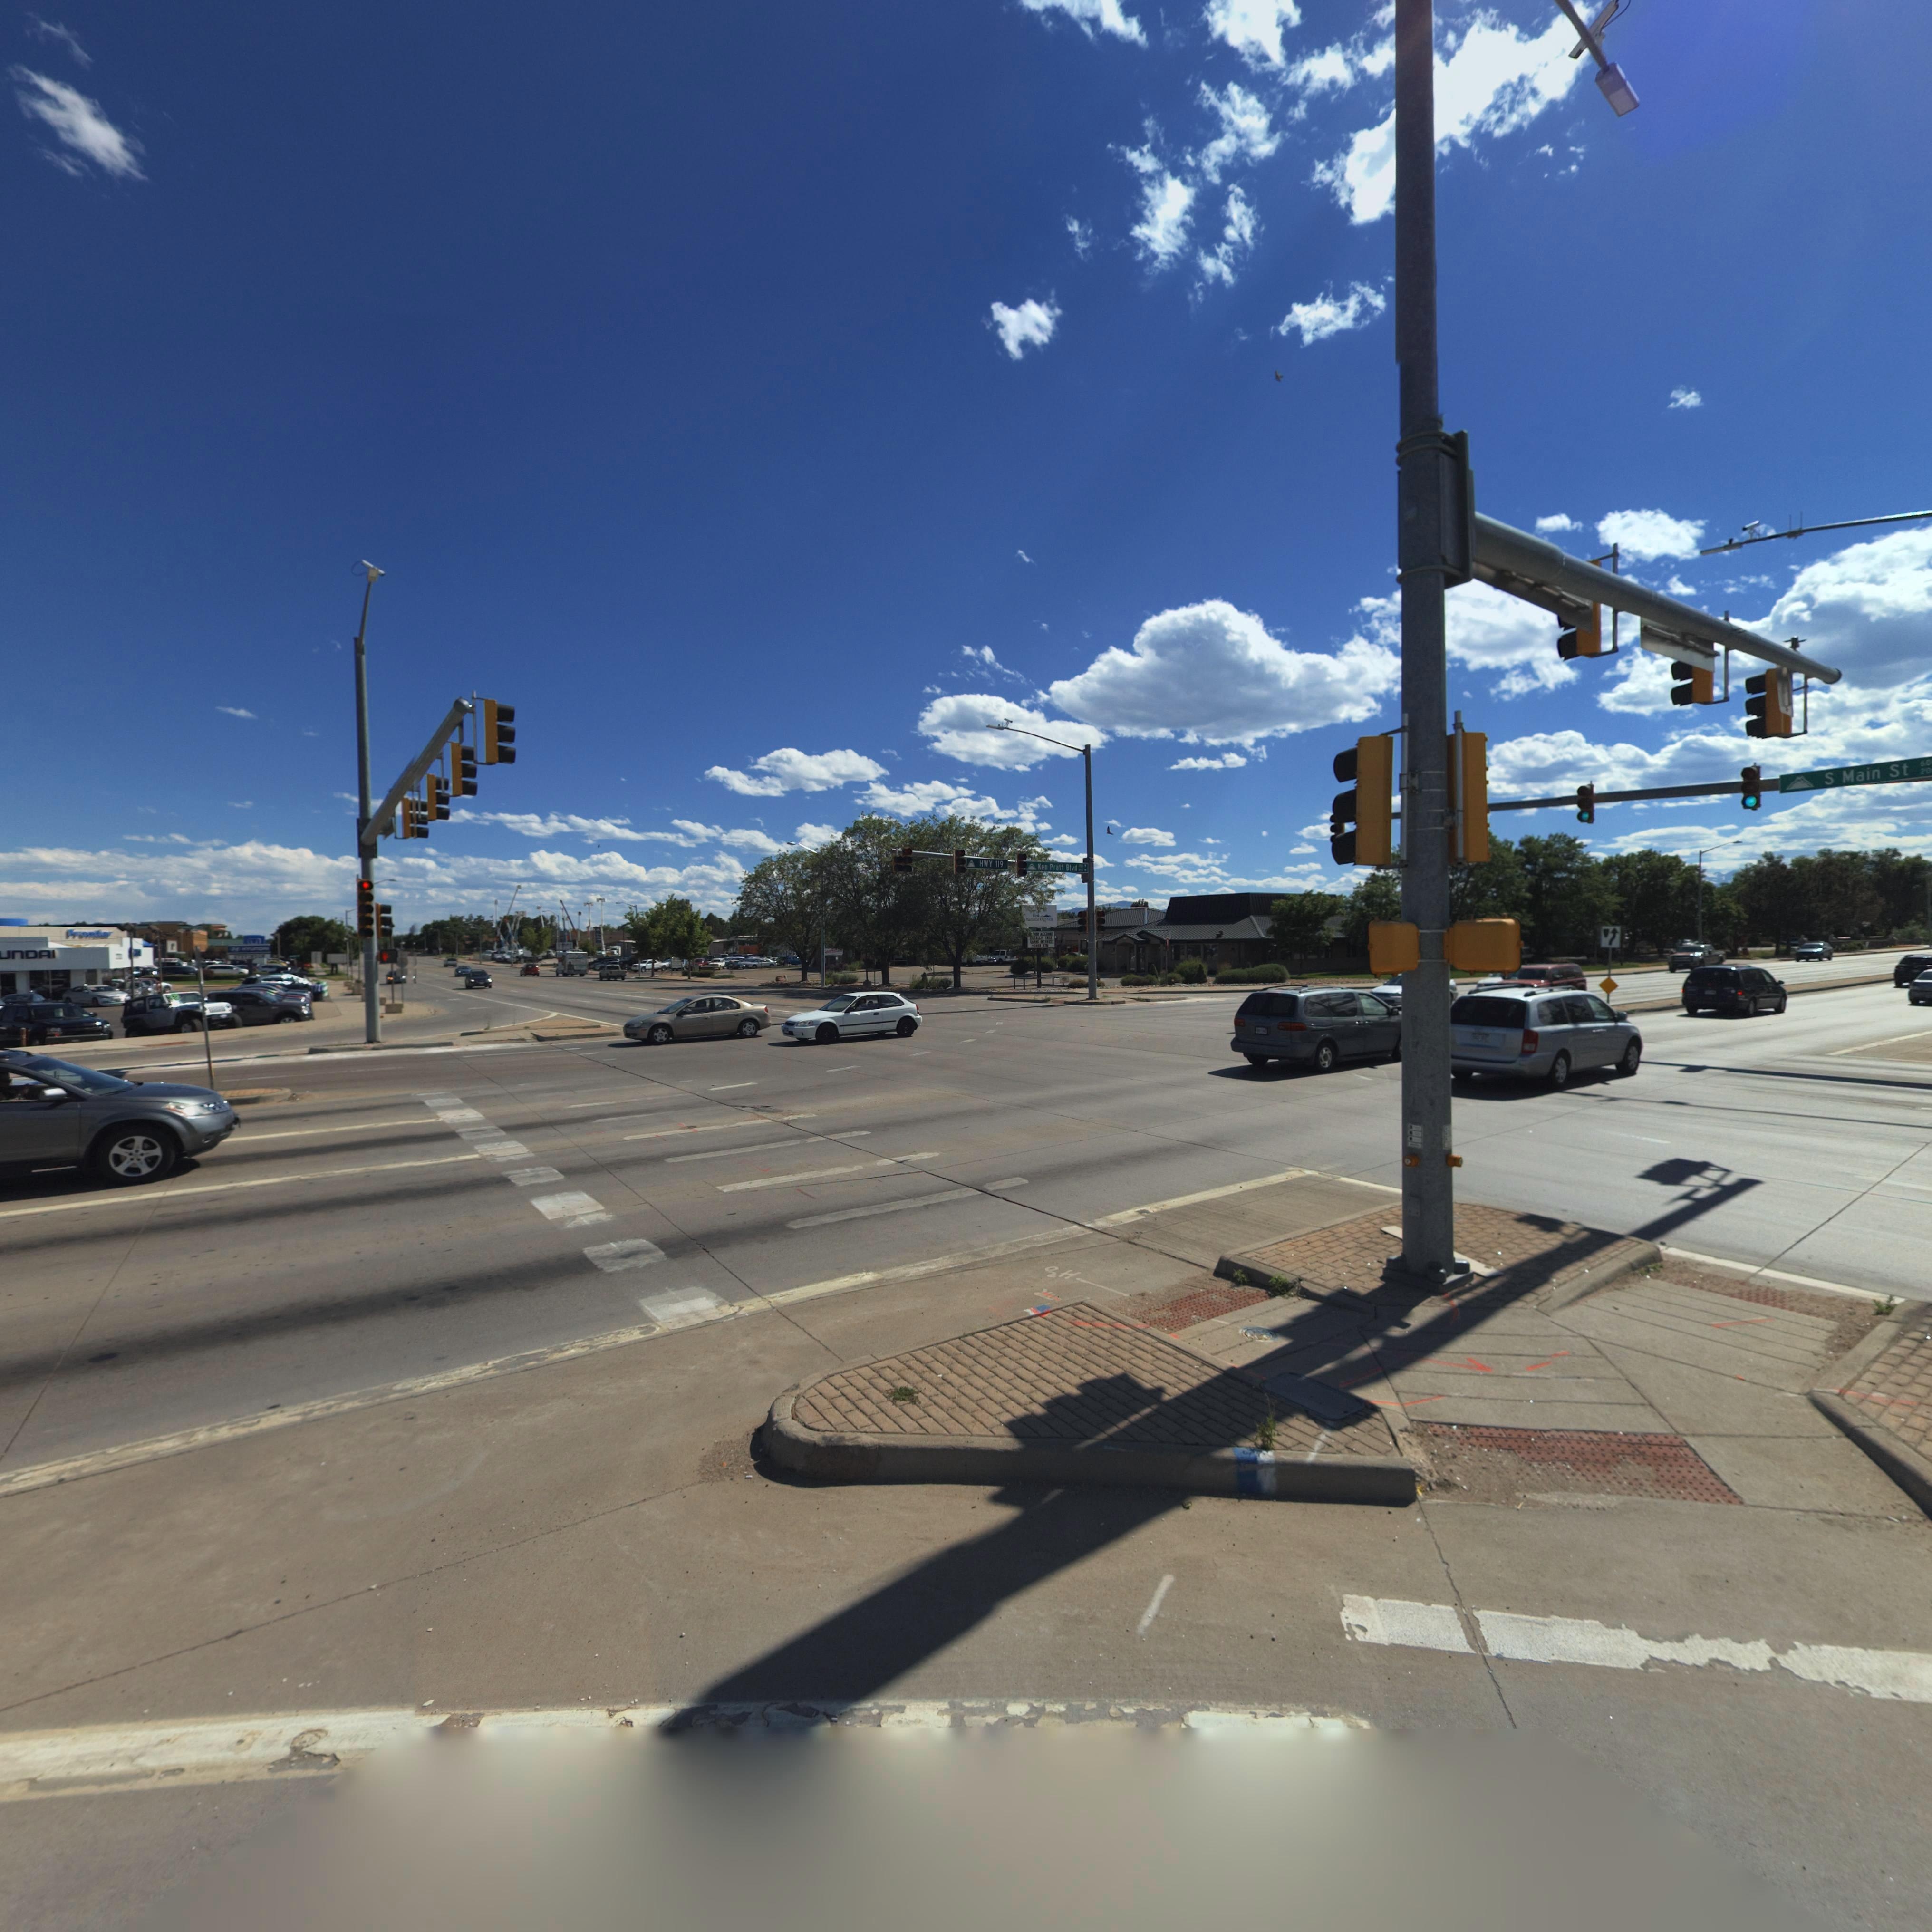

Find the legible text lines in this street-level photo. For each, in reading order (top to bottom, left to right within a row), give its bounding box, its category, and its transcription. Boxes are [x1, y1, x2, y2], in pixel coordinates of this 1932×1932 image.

[1920, 759, 1931, 767] StreetNumberRange: 60
[1823, 762, 1909, 785] StreetName: S Main St
[1920, 767, 1931, 775] StreetName: 20
[979, 860, 1003, 868] StreetName: HWY 119
[1038, 863, 1077, 871] StreetName: Ken Pratt Blvd
[241, 946, 270, 951] BusinessName: HY*****
[10, 949, 56, 959] BusinessName: NDAI